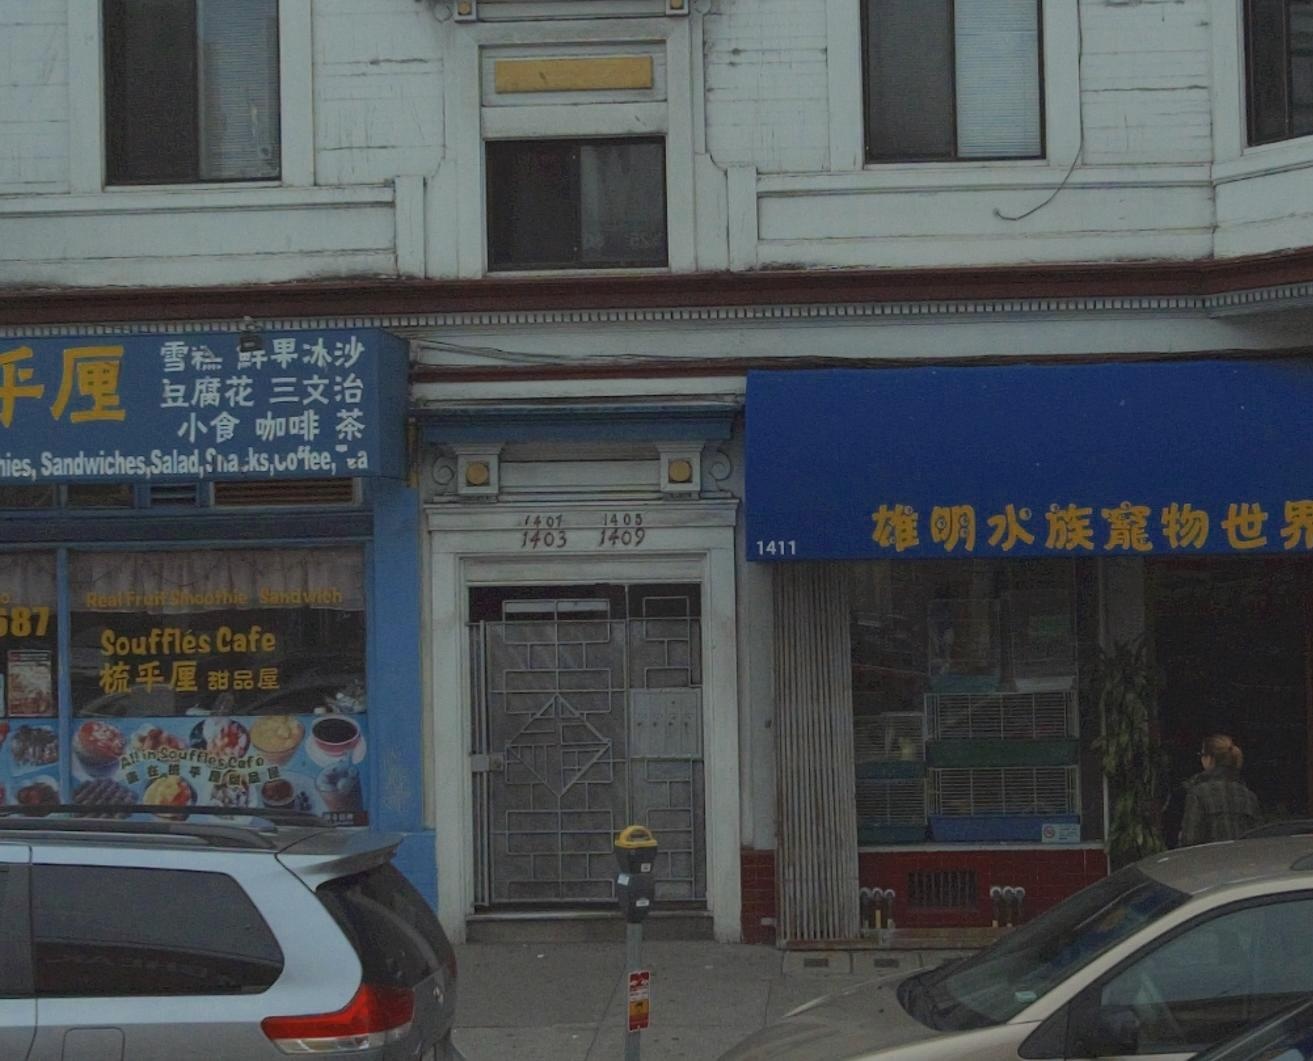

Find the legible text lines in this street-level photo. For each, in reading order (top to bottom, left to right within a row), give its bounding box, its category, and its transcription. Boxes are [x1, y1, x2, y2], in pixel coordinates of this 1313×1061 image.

[2, 442, 374, 485] None: ies, Sandwiches,Salad,S***ks,*o*fee, *a
[521, 512, 566, 532] StreetNumber: 1401
[599, 510, 646, 530] StreetNumber: 1405
[517, 528, 569, 552] StreetNumber: 1403
[595, 526, 651, 551] StreetNumber: 1409
[755, 537, 799, 559] StreetNumber: 1410
[84, 584, 346, 611] None: Real Fruit Smoothie Sandwich
[6, 602, 57, 642] None: 87
[96, 621, 282, 661] BusinessName: Souffles Cafe
[118, 743, 270, 774] None: All in Souffles Cafe